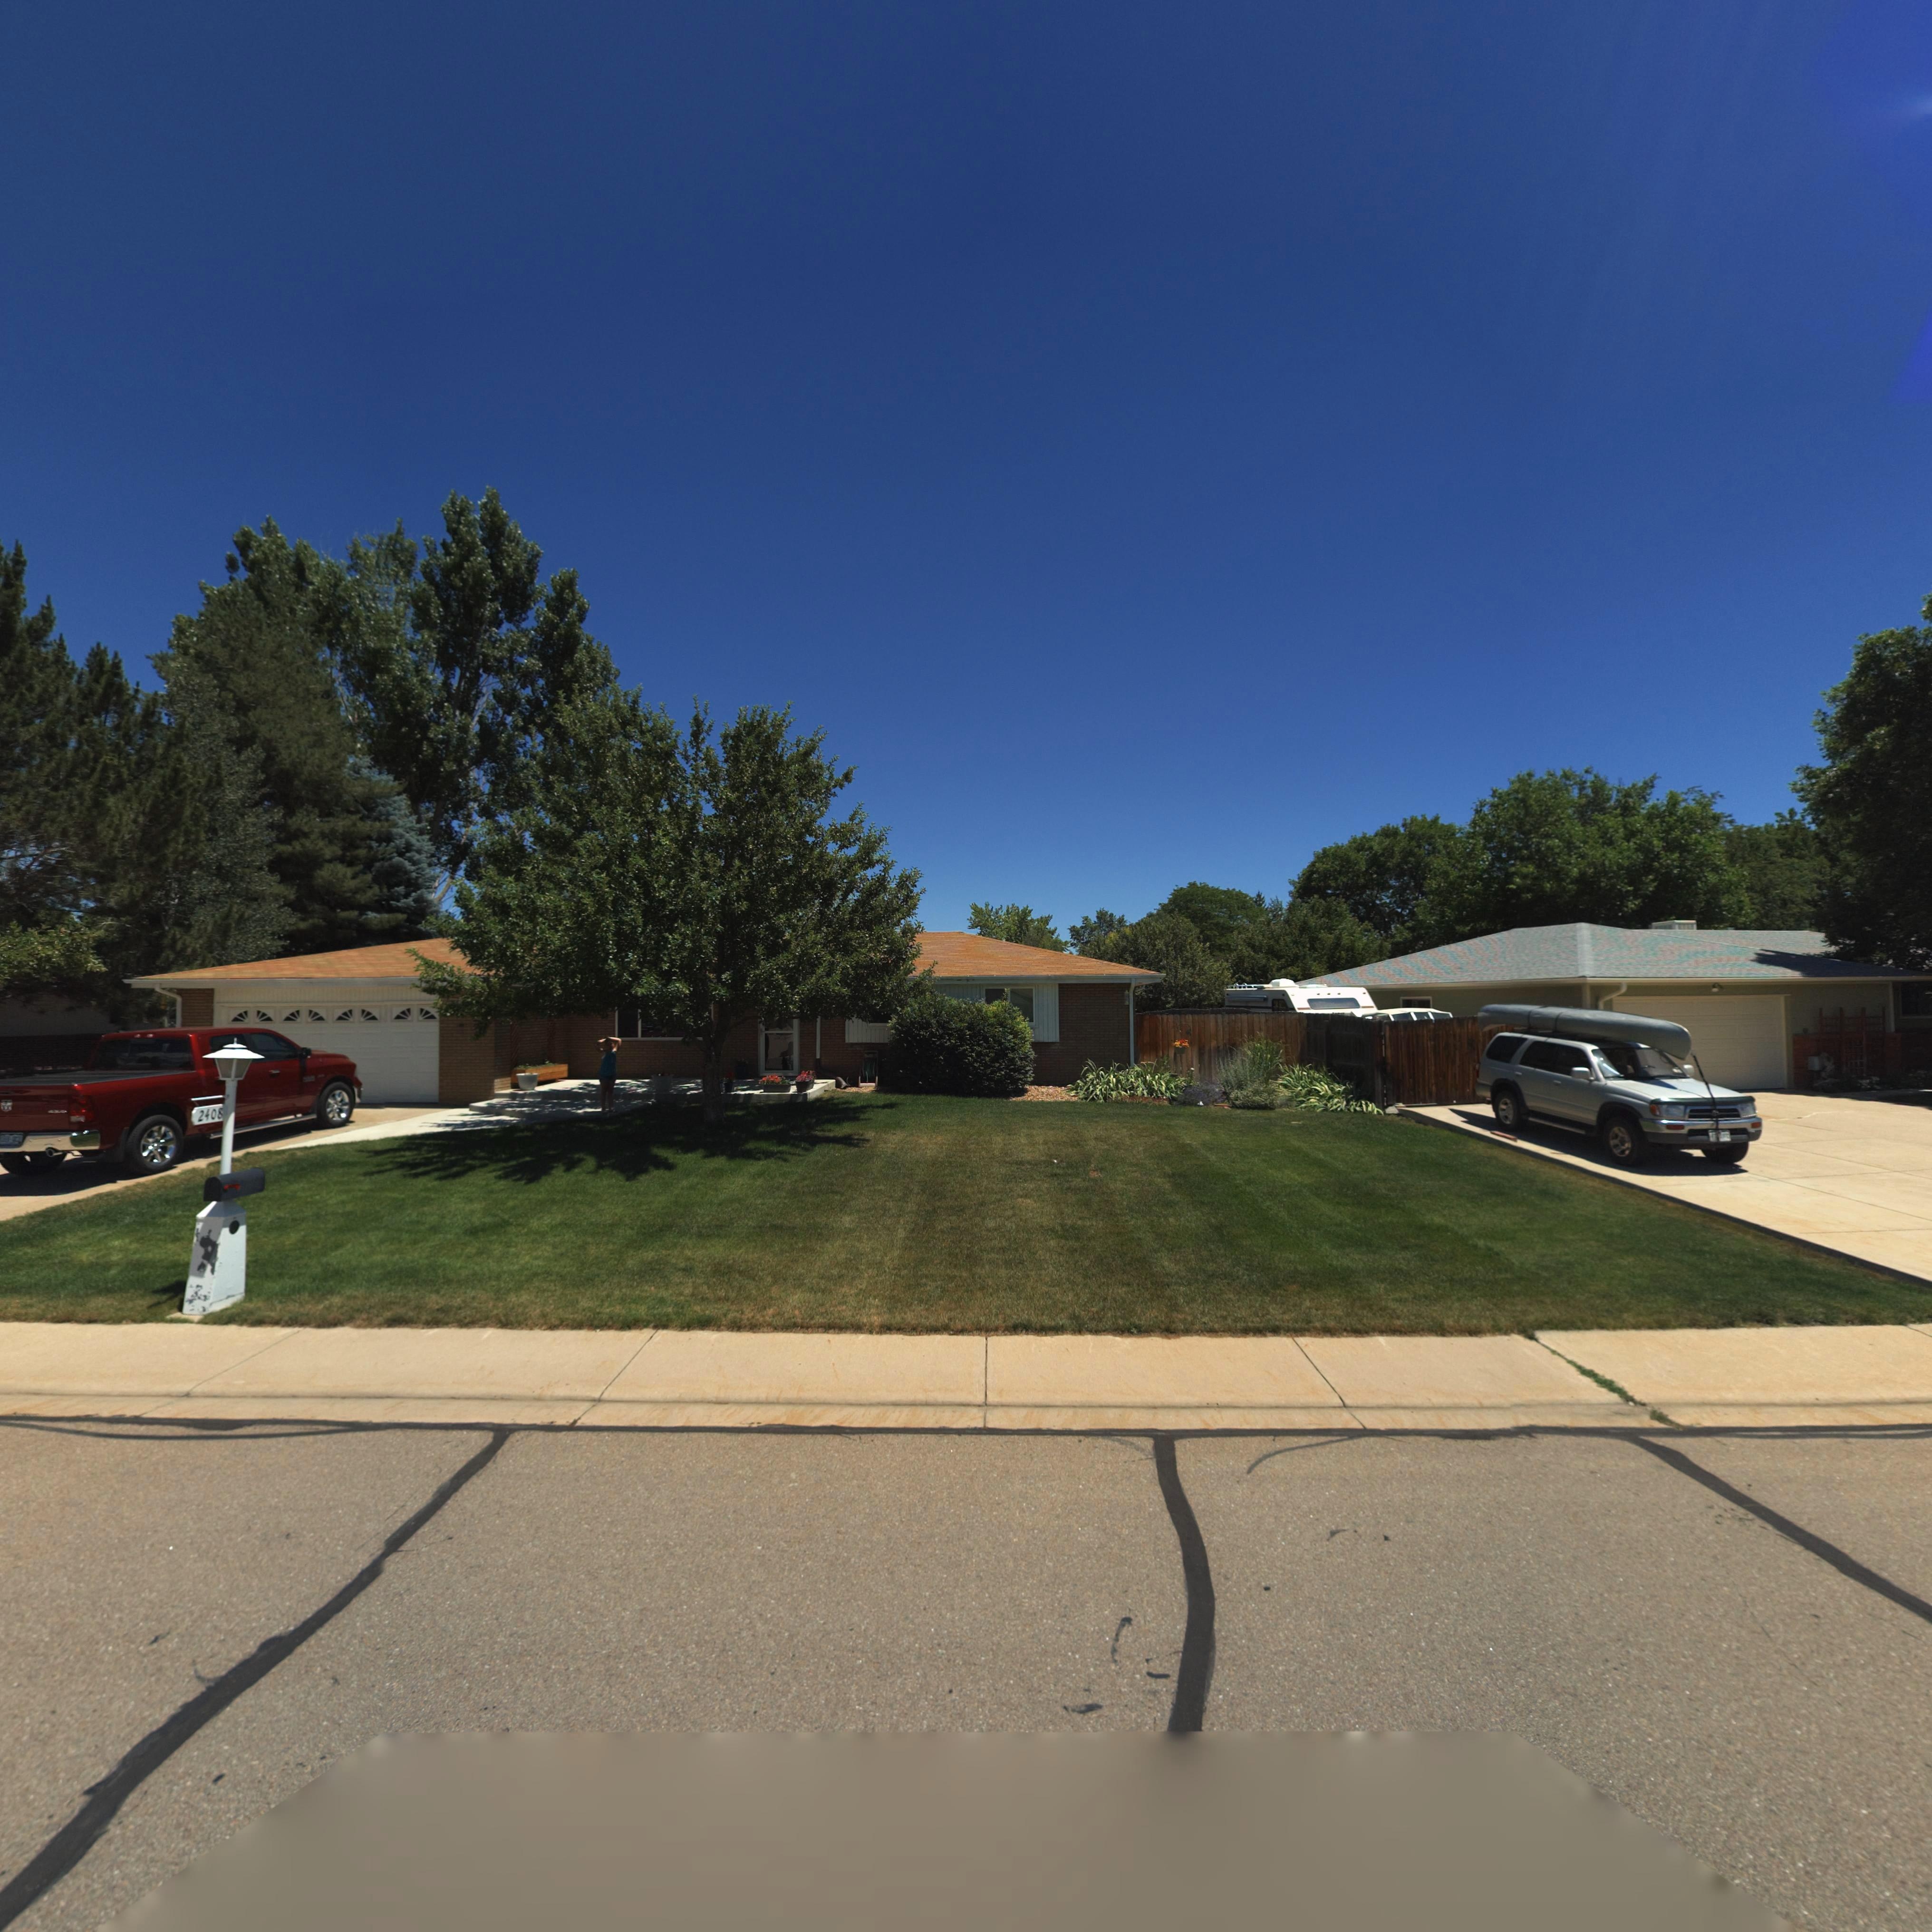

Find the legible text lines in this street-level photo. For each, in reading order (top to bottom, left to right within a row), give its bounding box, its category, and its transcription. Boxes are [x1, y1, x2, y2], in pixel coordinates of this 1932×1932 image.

[196, 1106, 224, 1123] StreetNumber: 2408